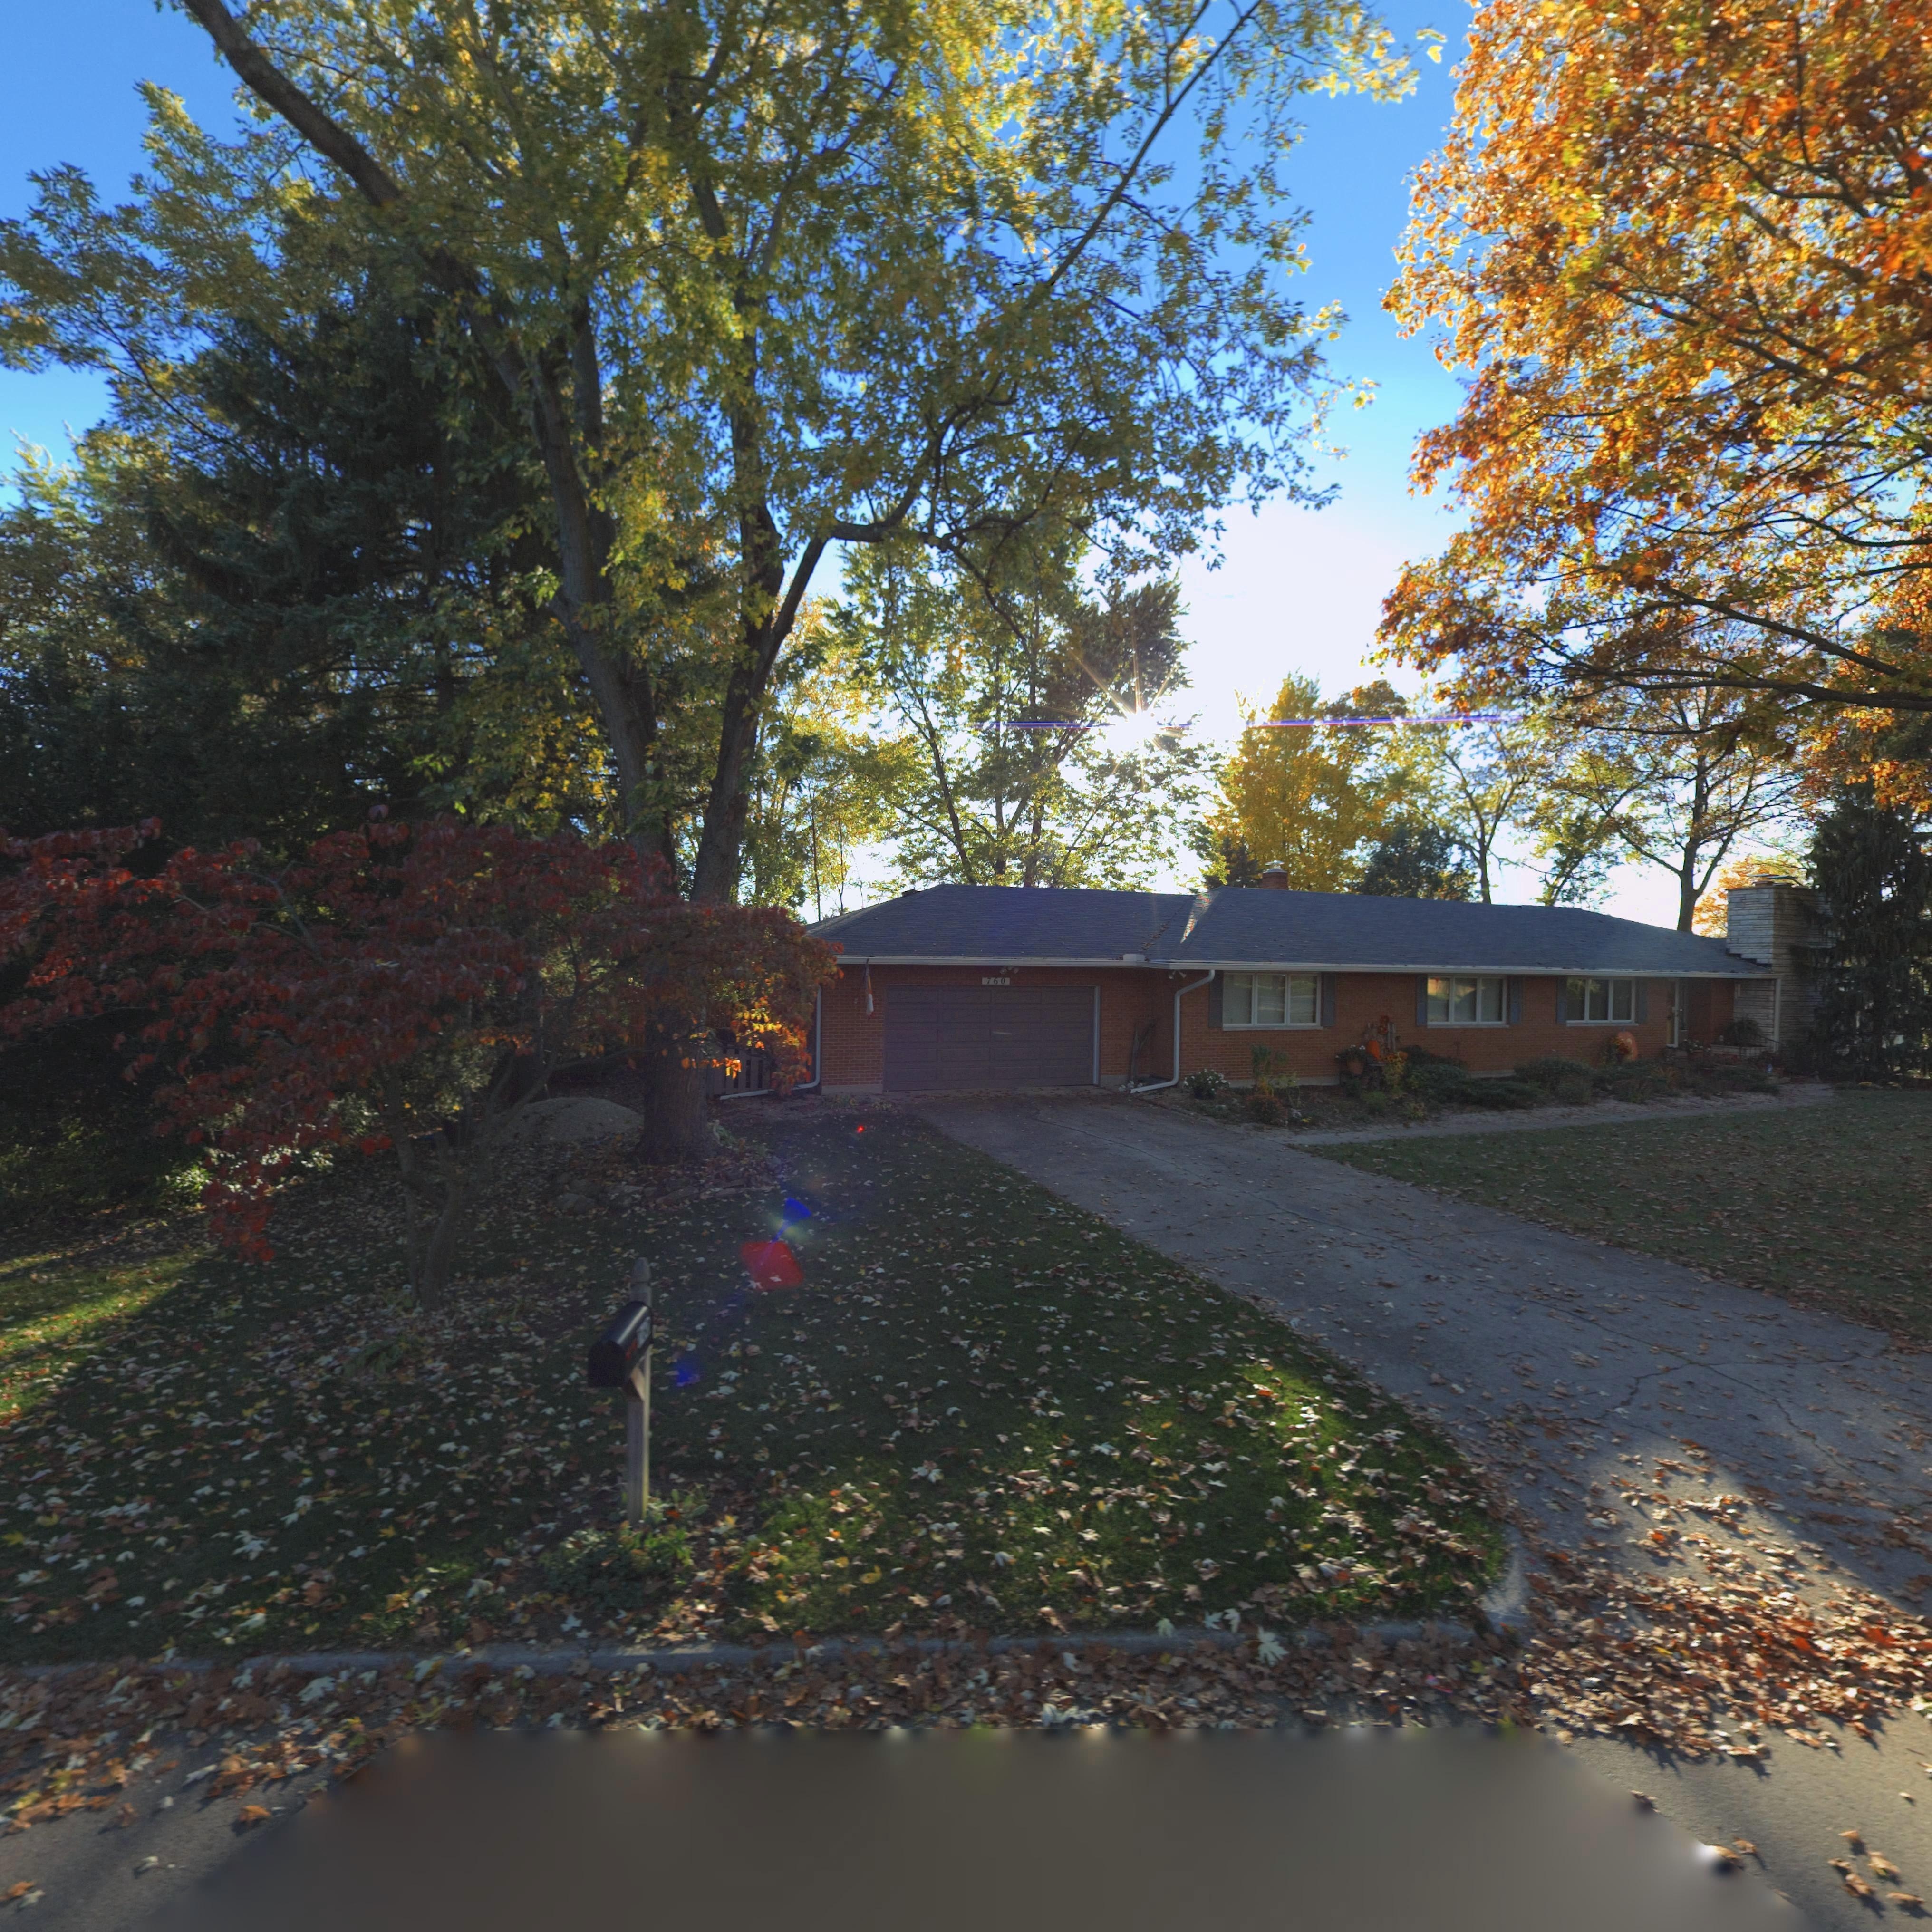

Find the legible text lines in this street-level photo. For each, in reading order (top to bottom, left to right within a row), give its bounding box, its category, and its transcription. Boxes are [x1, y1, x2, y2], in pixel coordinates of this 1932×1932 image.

[986, 976, 1006, 985] StreetNumber: 760